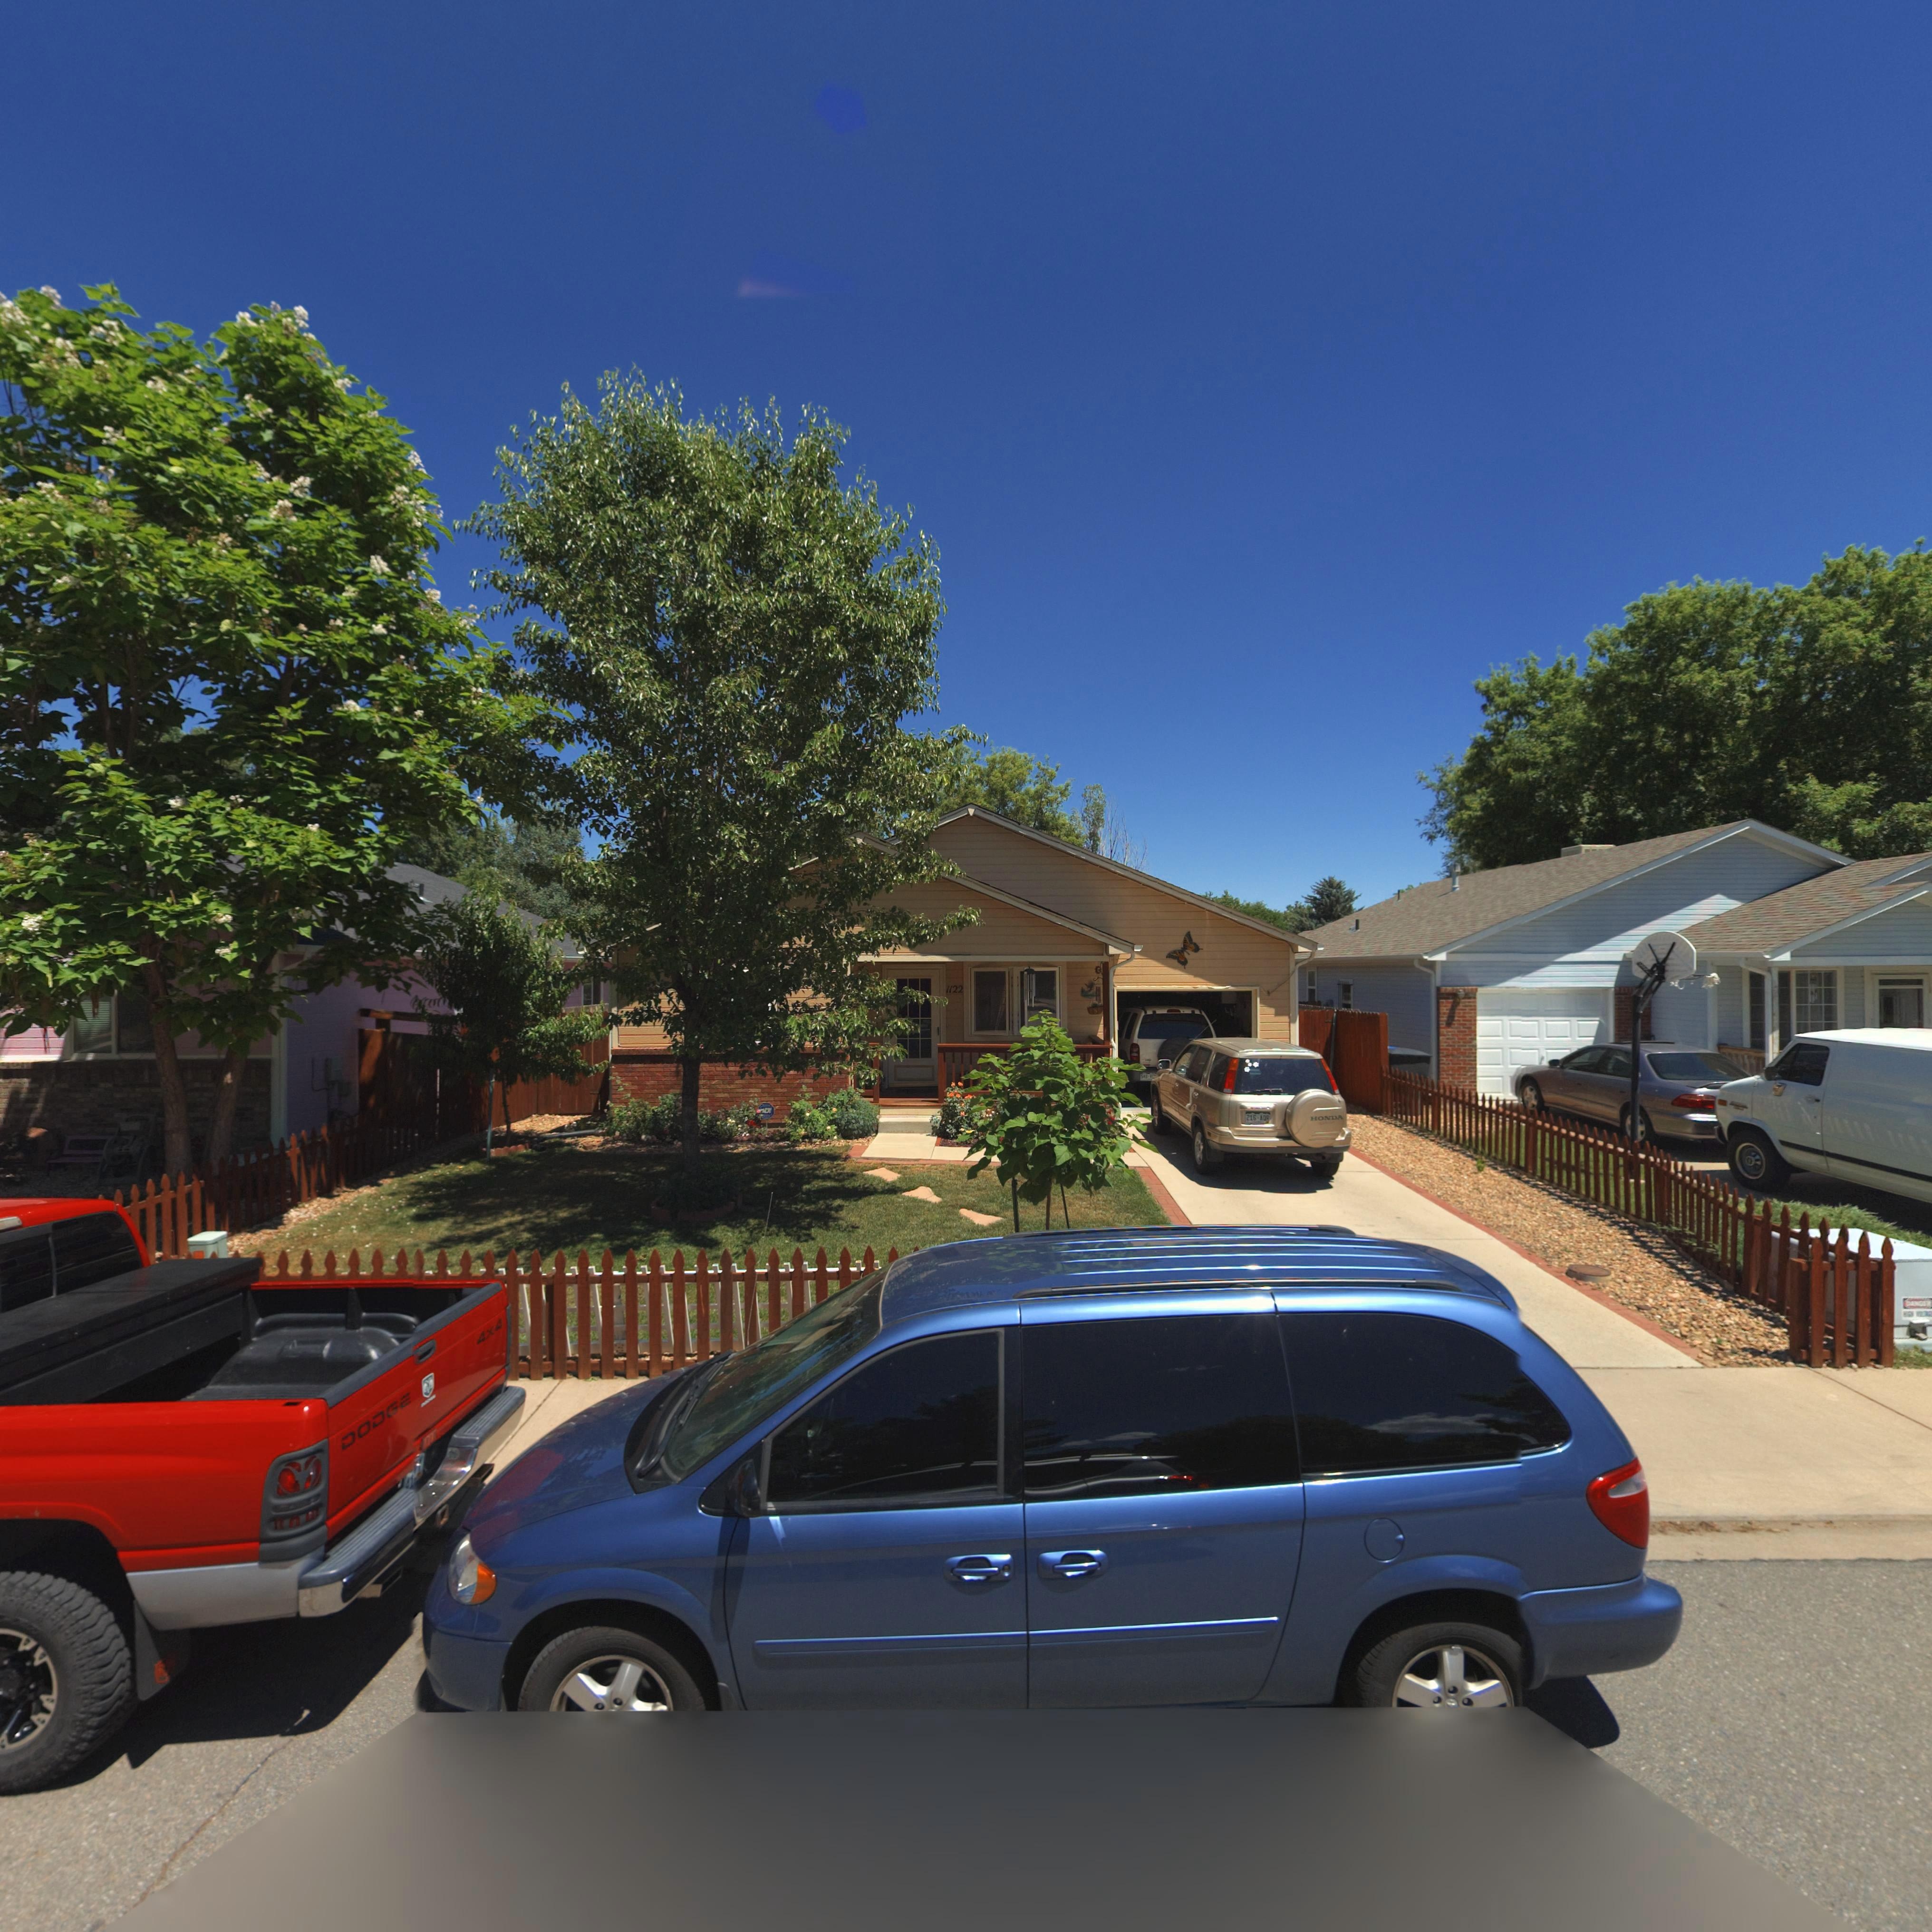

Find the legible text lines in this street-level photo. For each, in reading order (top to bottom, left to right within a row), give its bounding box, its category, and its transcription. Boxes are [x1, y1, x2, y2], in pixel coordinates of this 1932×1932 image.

[945, 985, 963, 993] StreetNumber: 1122